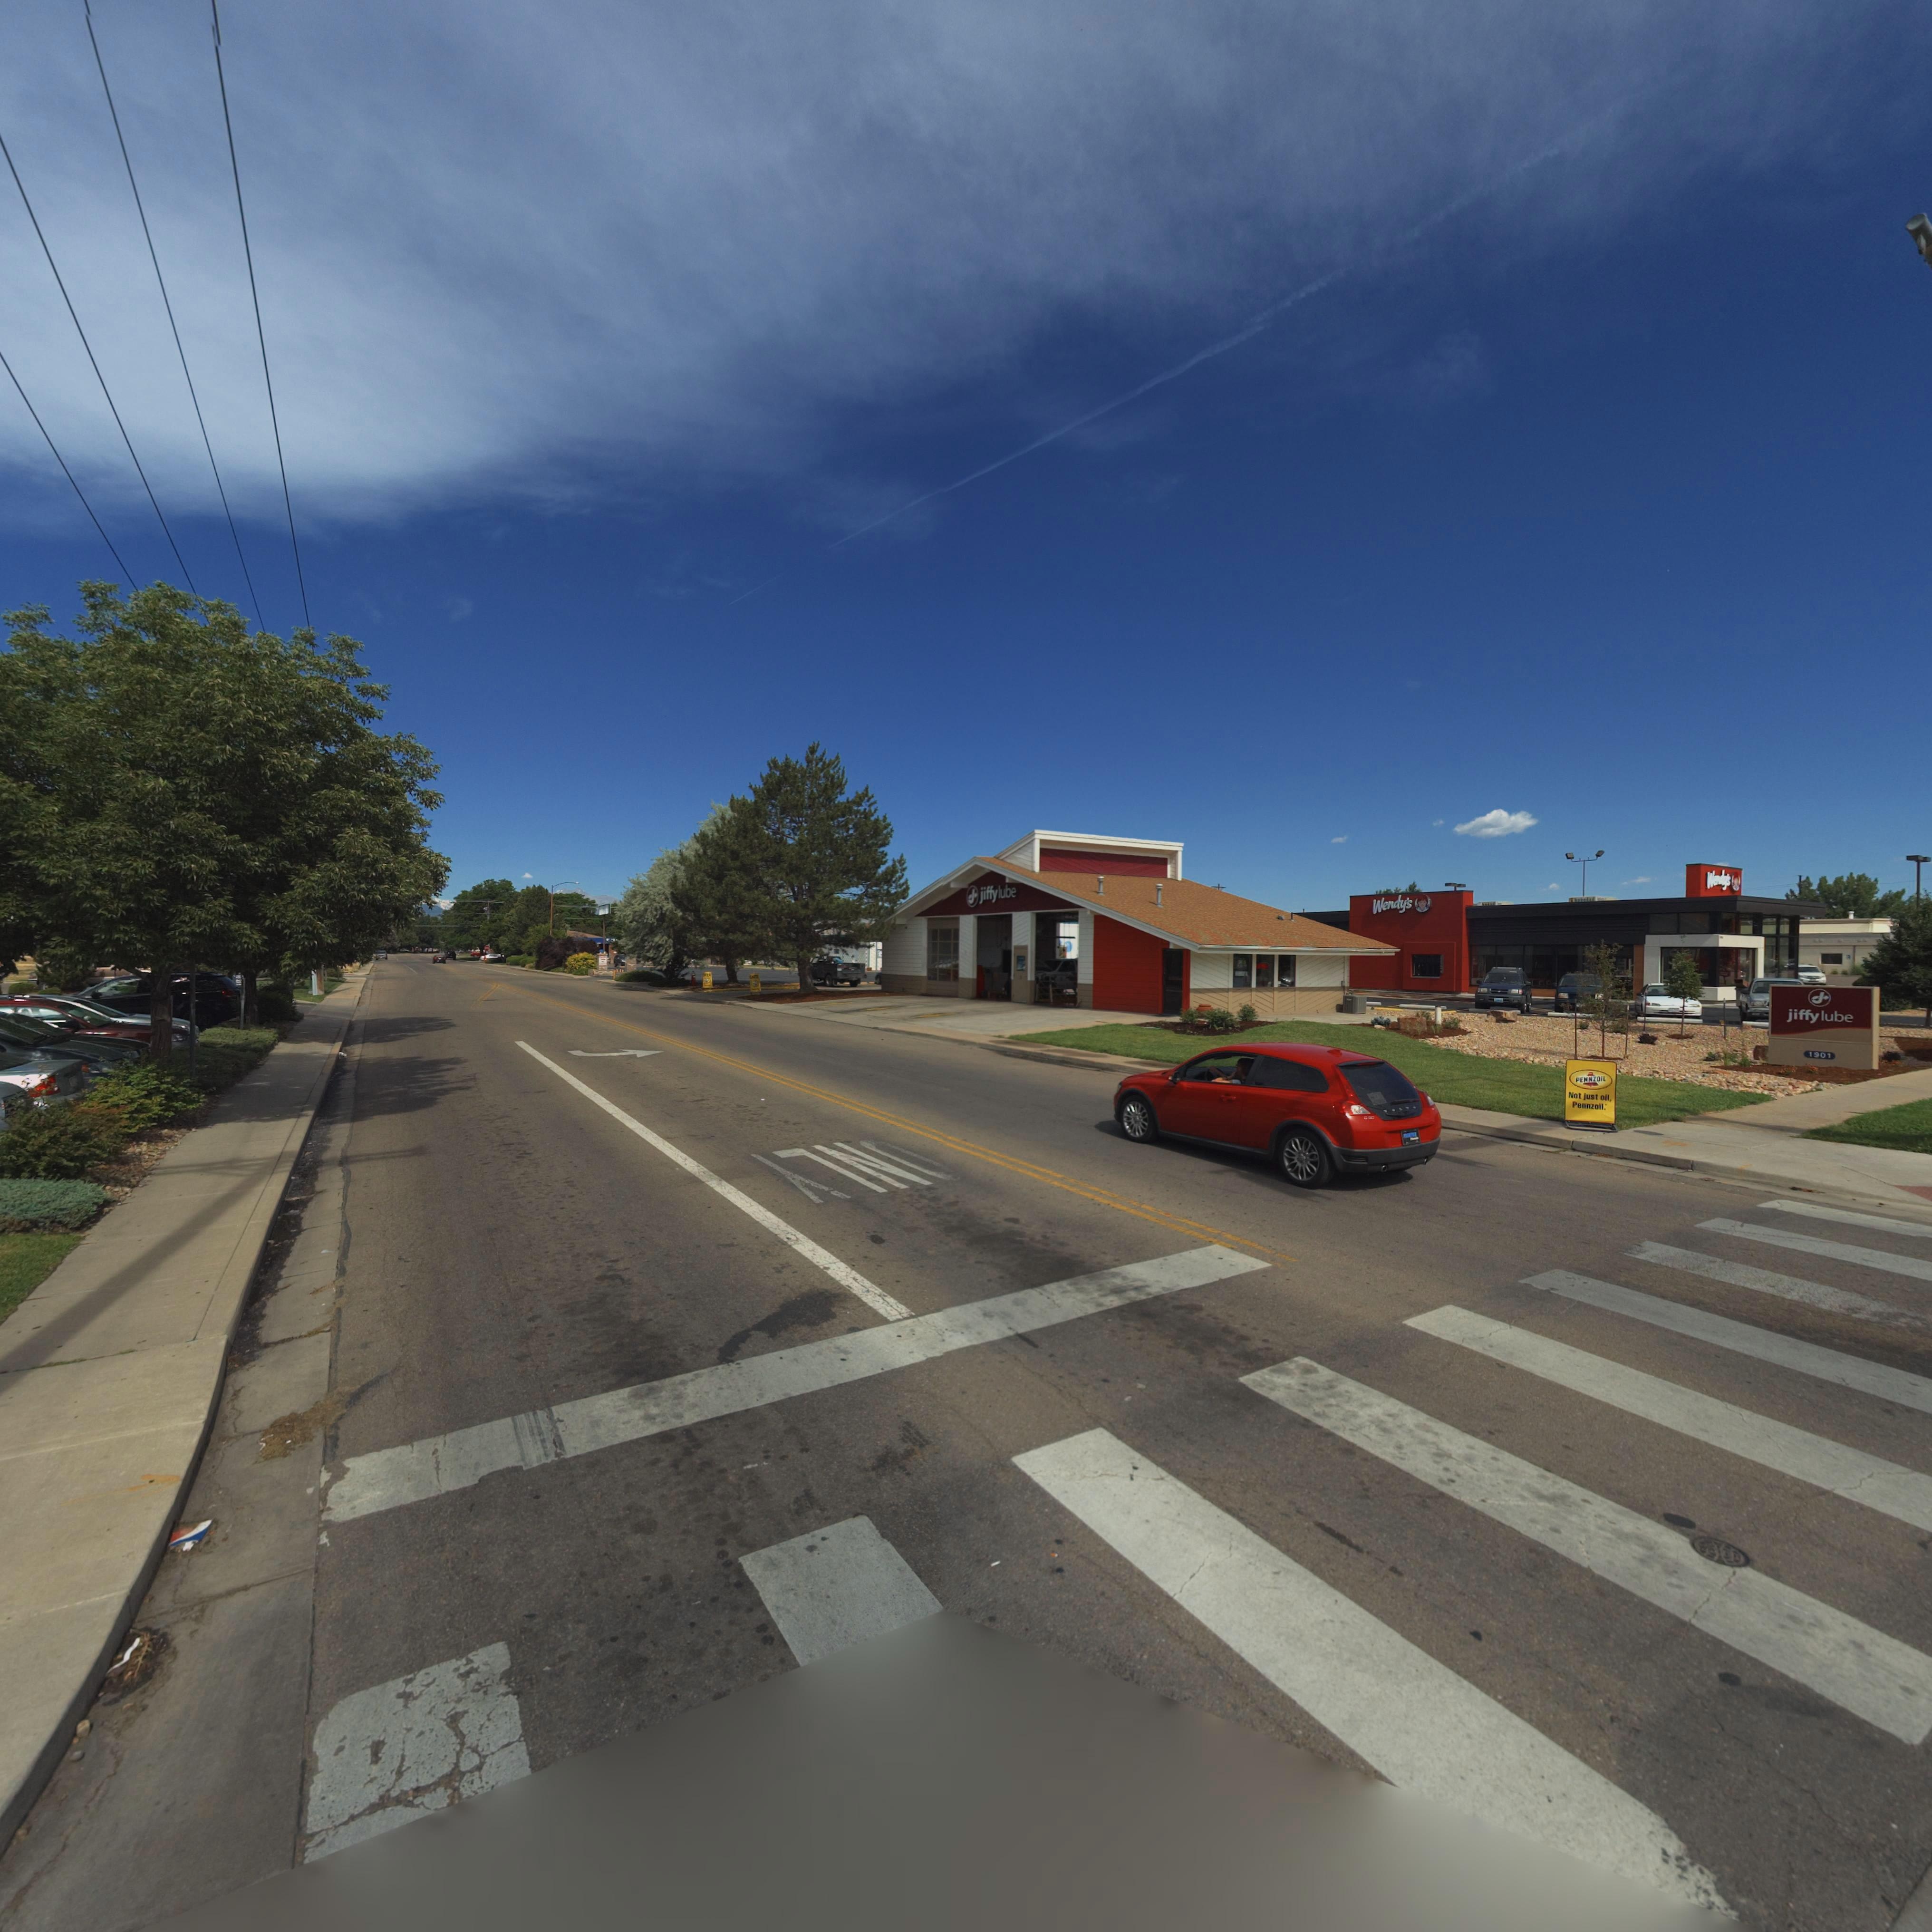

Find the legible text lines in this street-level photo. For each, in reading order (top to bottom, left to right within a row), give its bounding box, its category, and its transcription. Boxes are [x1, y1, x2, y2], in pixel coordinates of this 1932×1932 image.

[1707, 869, 1731, 890] BusinessName: We**y's
[979, 884, 1017, 904] BusinessName: jiffy lube
[1372, 894, 1412, 914] BusinessName: Wendy's
[1786, 1008, 1854, 1024] BusinessName: jiffy lube
[1808, 1051, 1831, 1058] StreetNumber: 1901